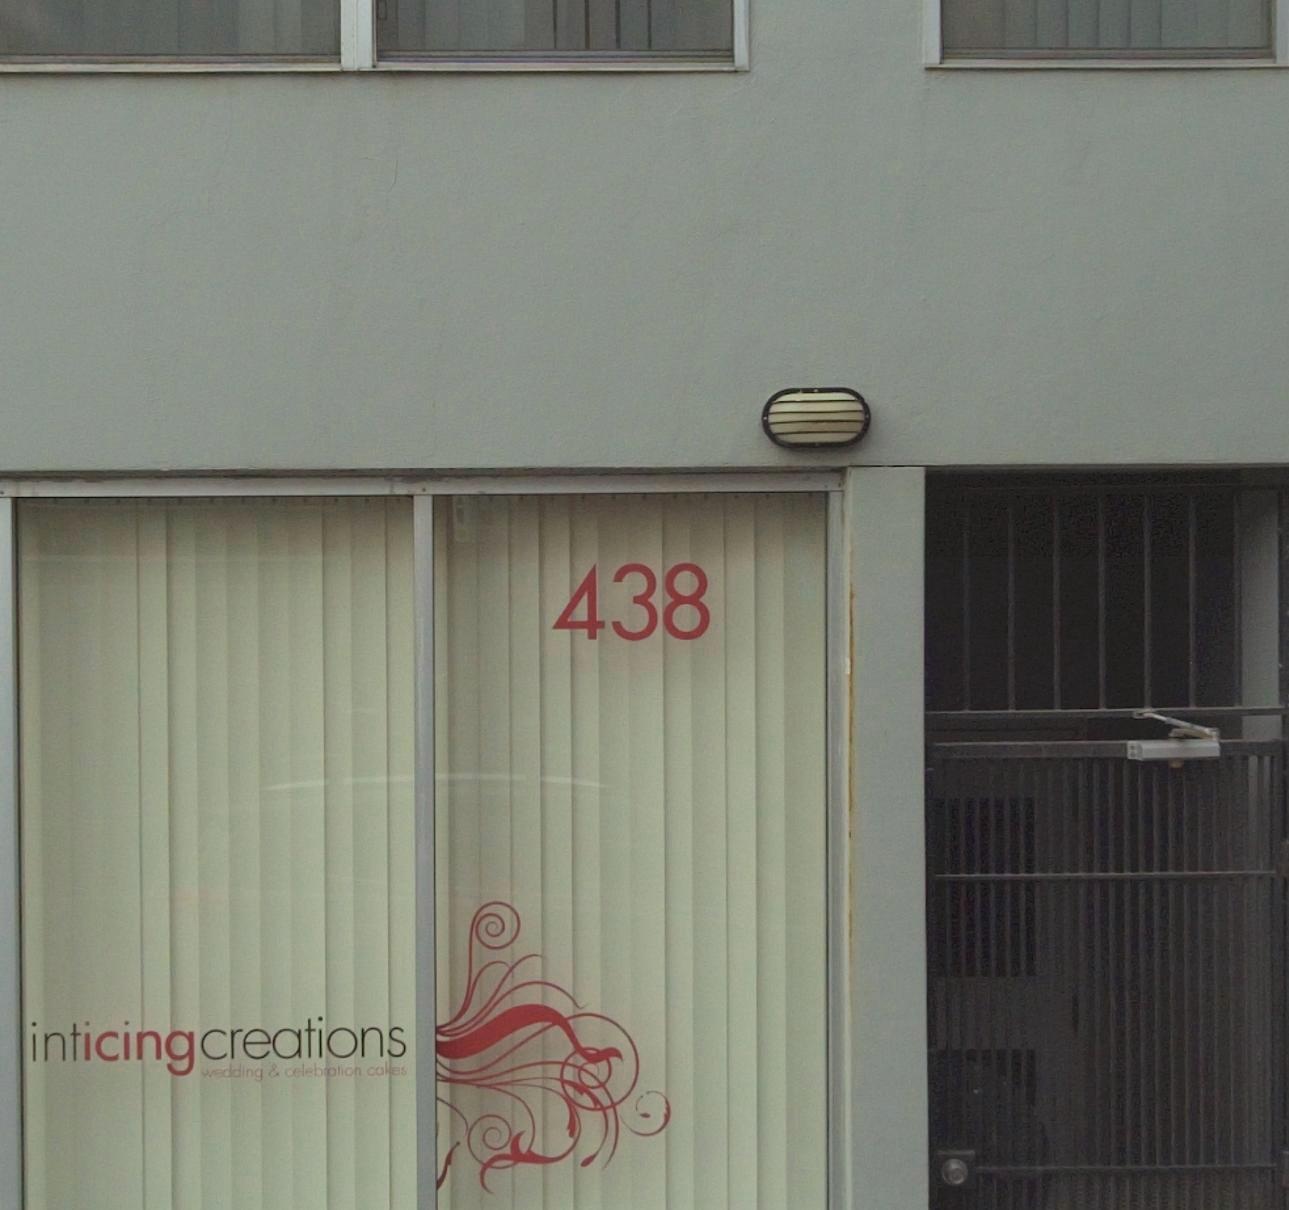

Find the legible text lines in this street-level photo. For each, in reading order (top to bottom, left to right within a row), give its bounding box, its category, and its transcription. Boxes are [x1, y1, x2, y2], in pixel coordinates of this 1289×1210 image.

[547, 558, 716, 644] StreetNumber: 438
[28, 1010, 411, 1079] BusinessName: inticingcreations
[197, 1058, 412, 1085] None: wedding & celebratron cakes